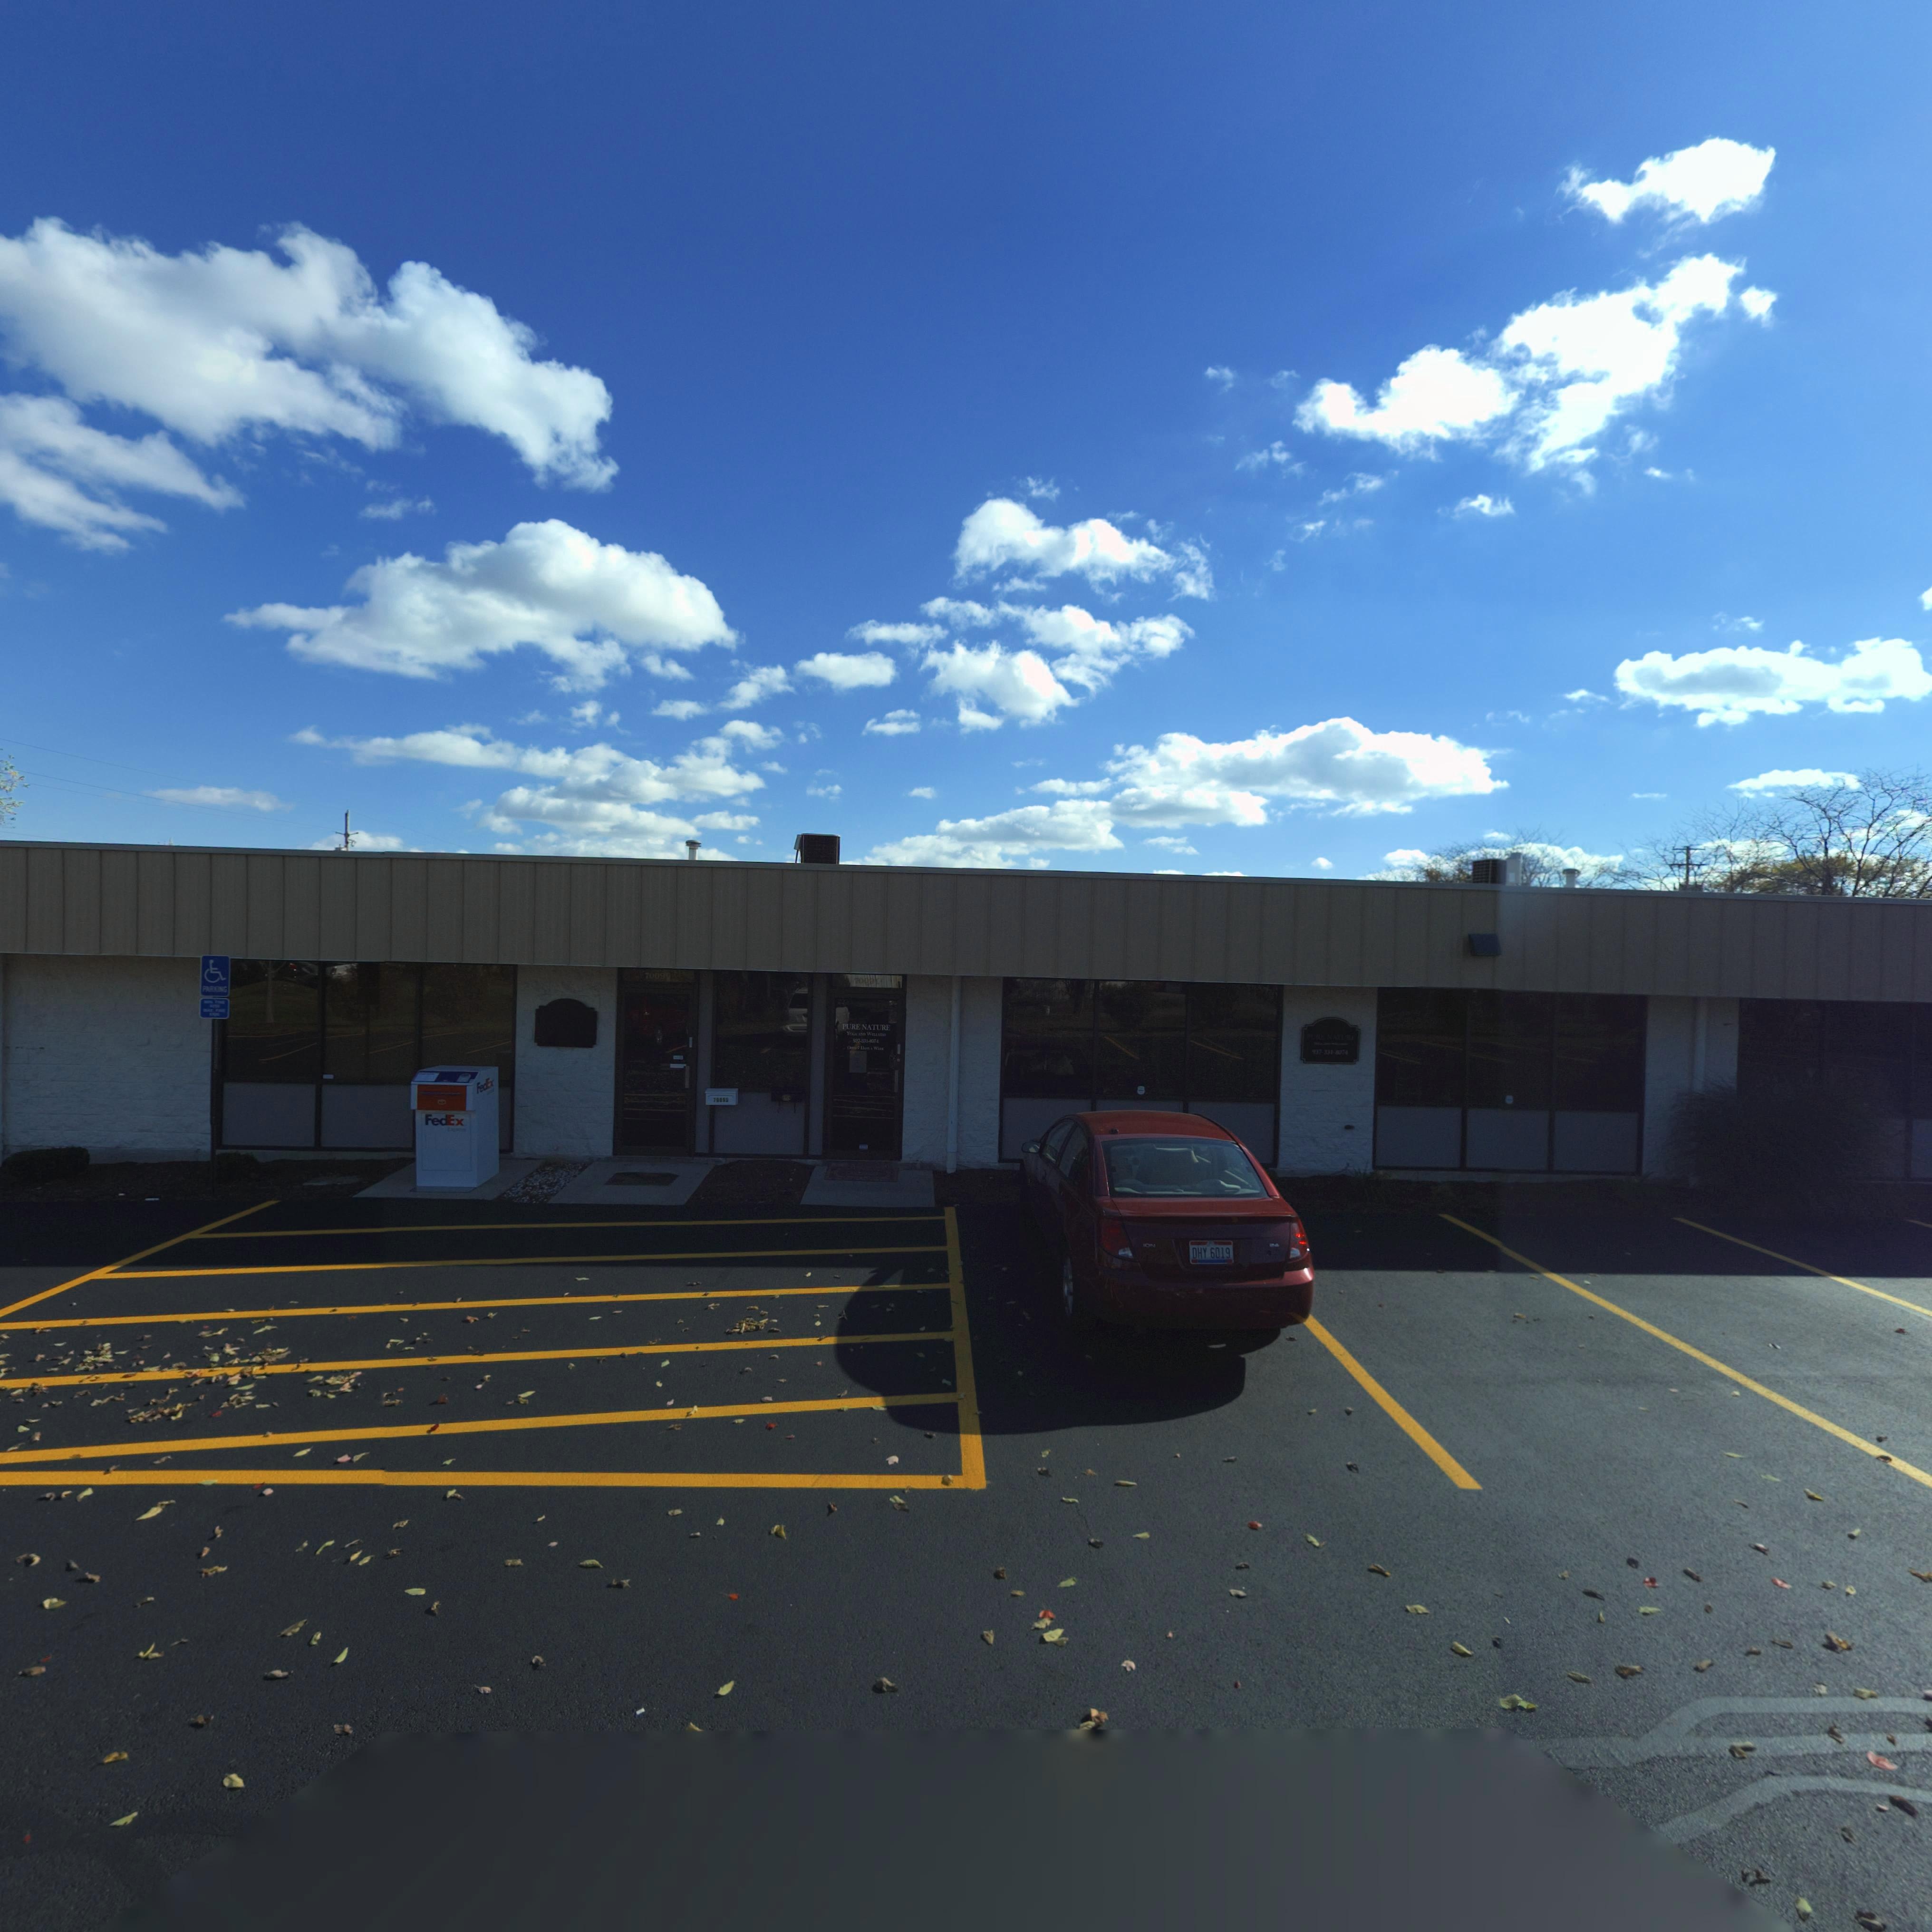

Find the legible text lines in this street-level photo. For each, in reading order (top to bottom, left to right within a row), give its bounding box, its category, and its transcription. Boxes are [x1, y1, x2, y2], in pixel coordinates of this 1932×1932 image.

[643, 971, 667, 981] StreetNumber: 7009
[852, 976, 881, 986] StreetNumber: 7009 C